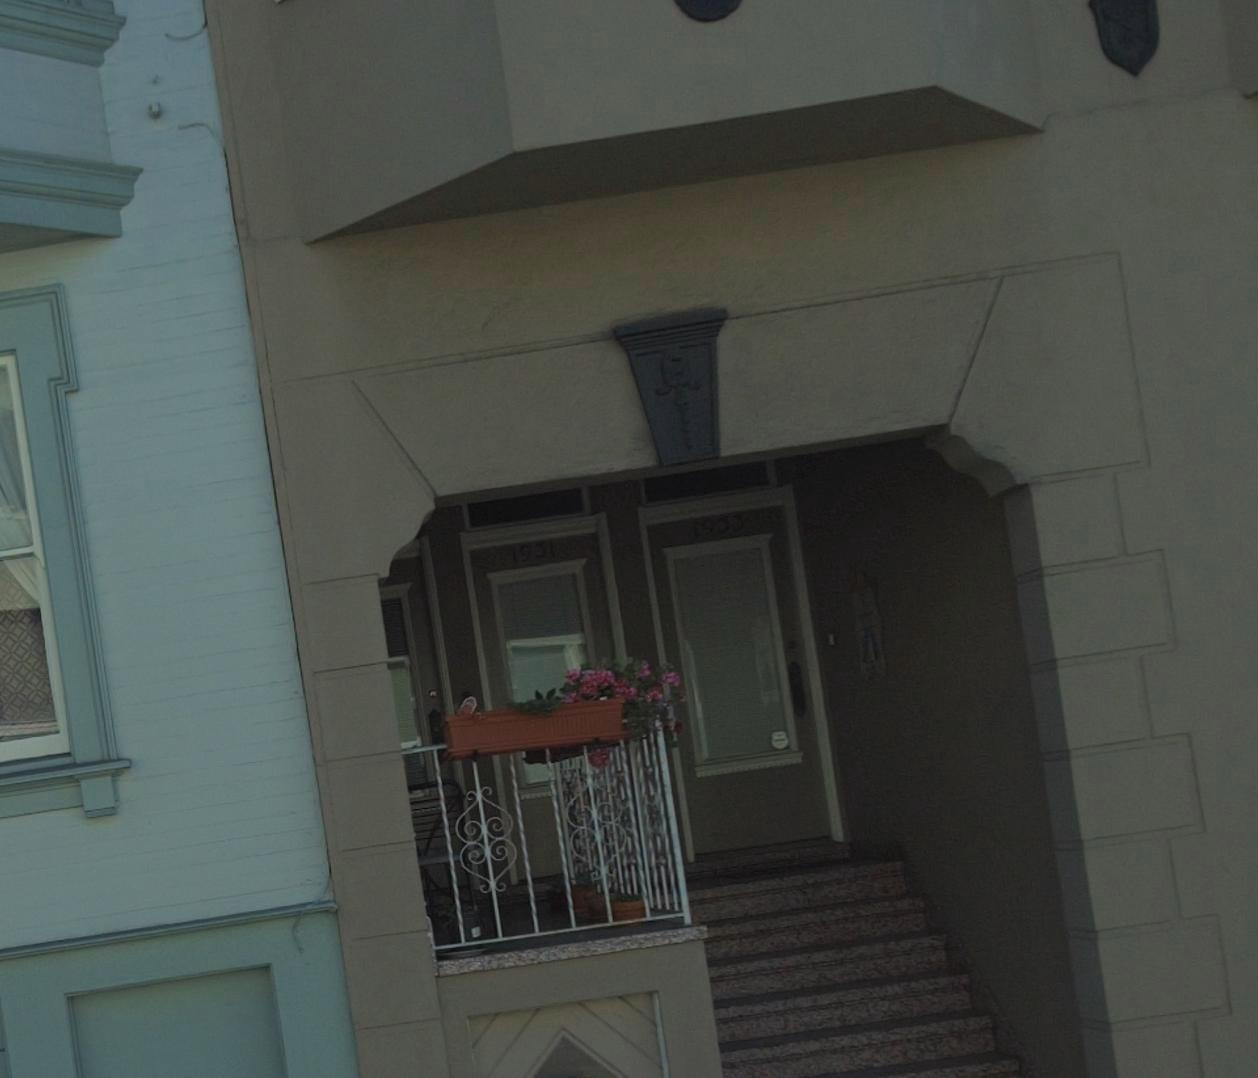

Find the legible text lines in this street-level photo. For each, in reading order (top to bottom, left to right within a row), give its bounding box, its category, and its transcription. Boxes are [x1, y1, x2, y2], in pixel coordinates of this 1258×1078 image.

[692, 511, 746, 541] StreetNumber: 1933
[511, 539, 557, 565] StreetNumber: 1931